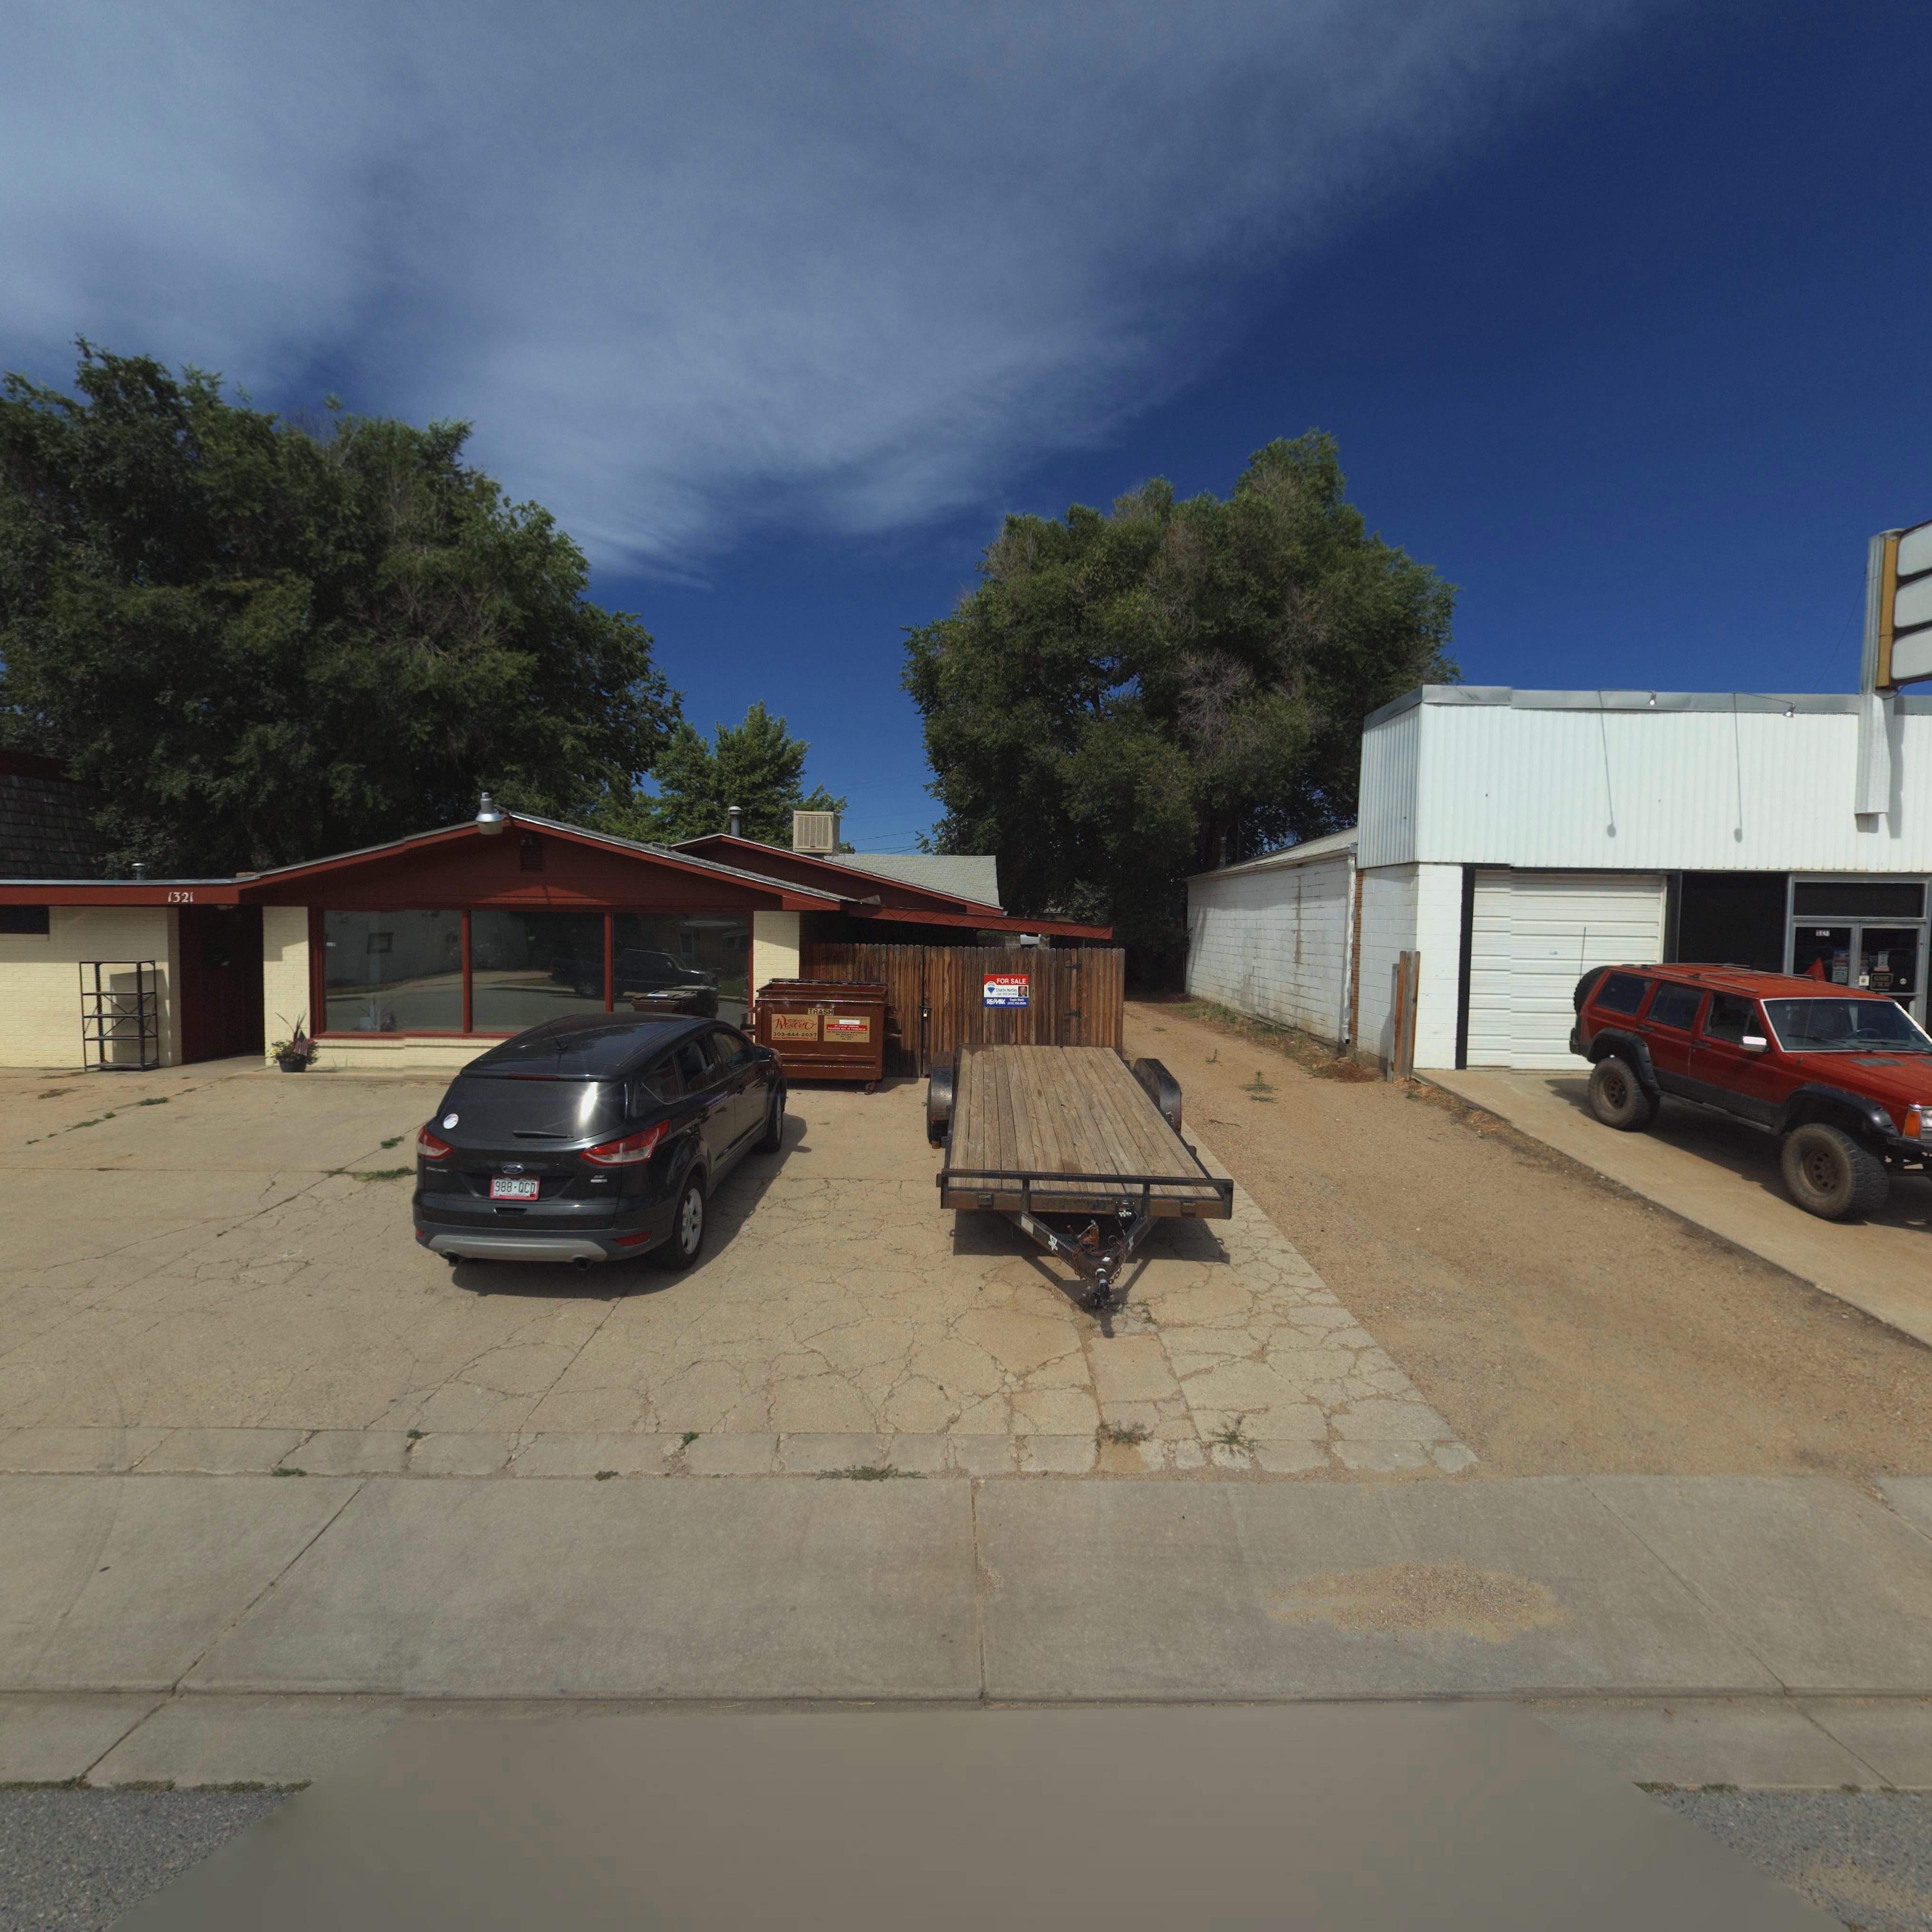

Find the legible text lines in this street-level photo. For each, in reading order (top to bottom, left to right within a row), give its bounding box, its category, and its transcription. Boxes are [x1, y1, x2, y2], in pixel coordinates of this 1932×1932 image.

[167, 891, 194, 903] StreetNumber: 1321
[1816, 929, 1830, 936] StreetNumber: 1***